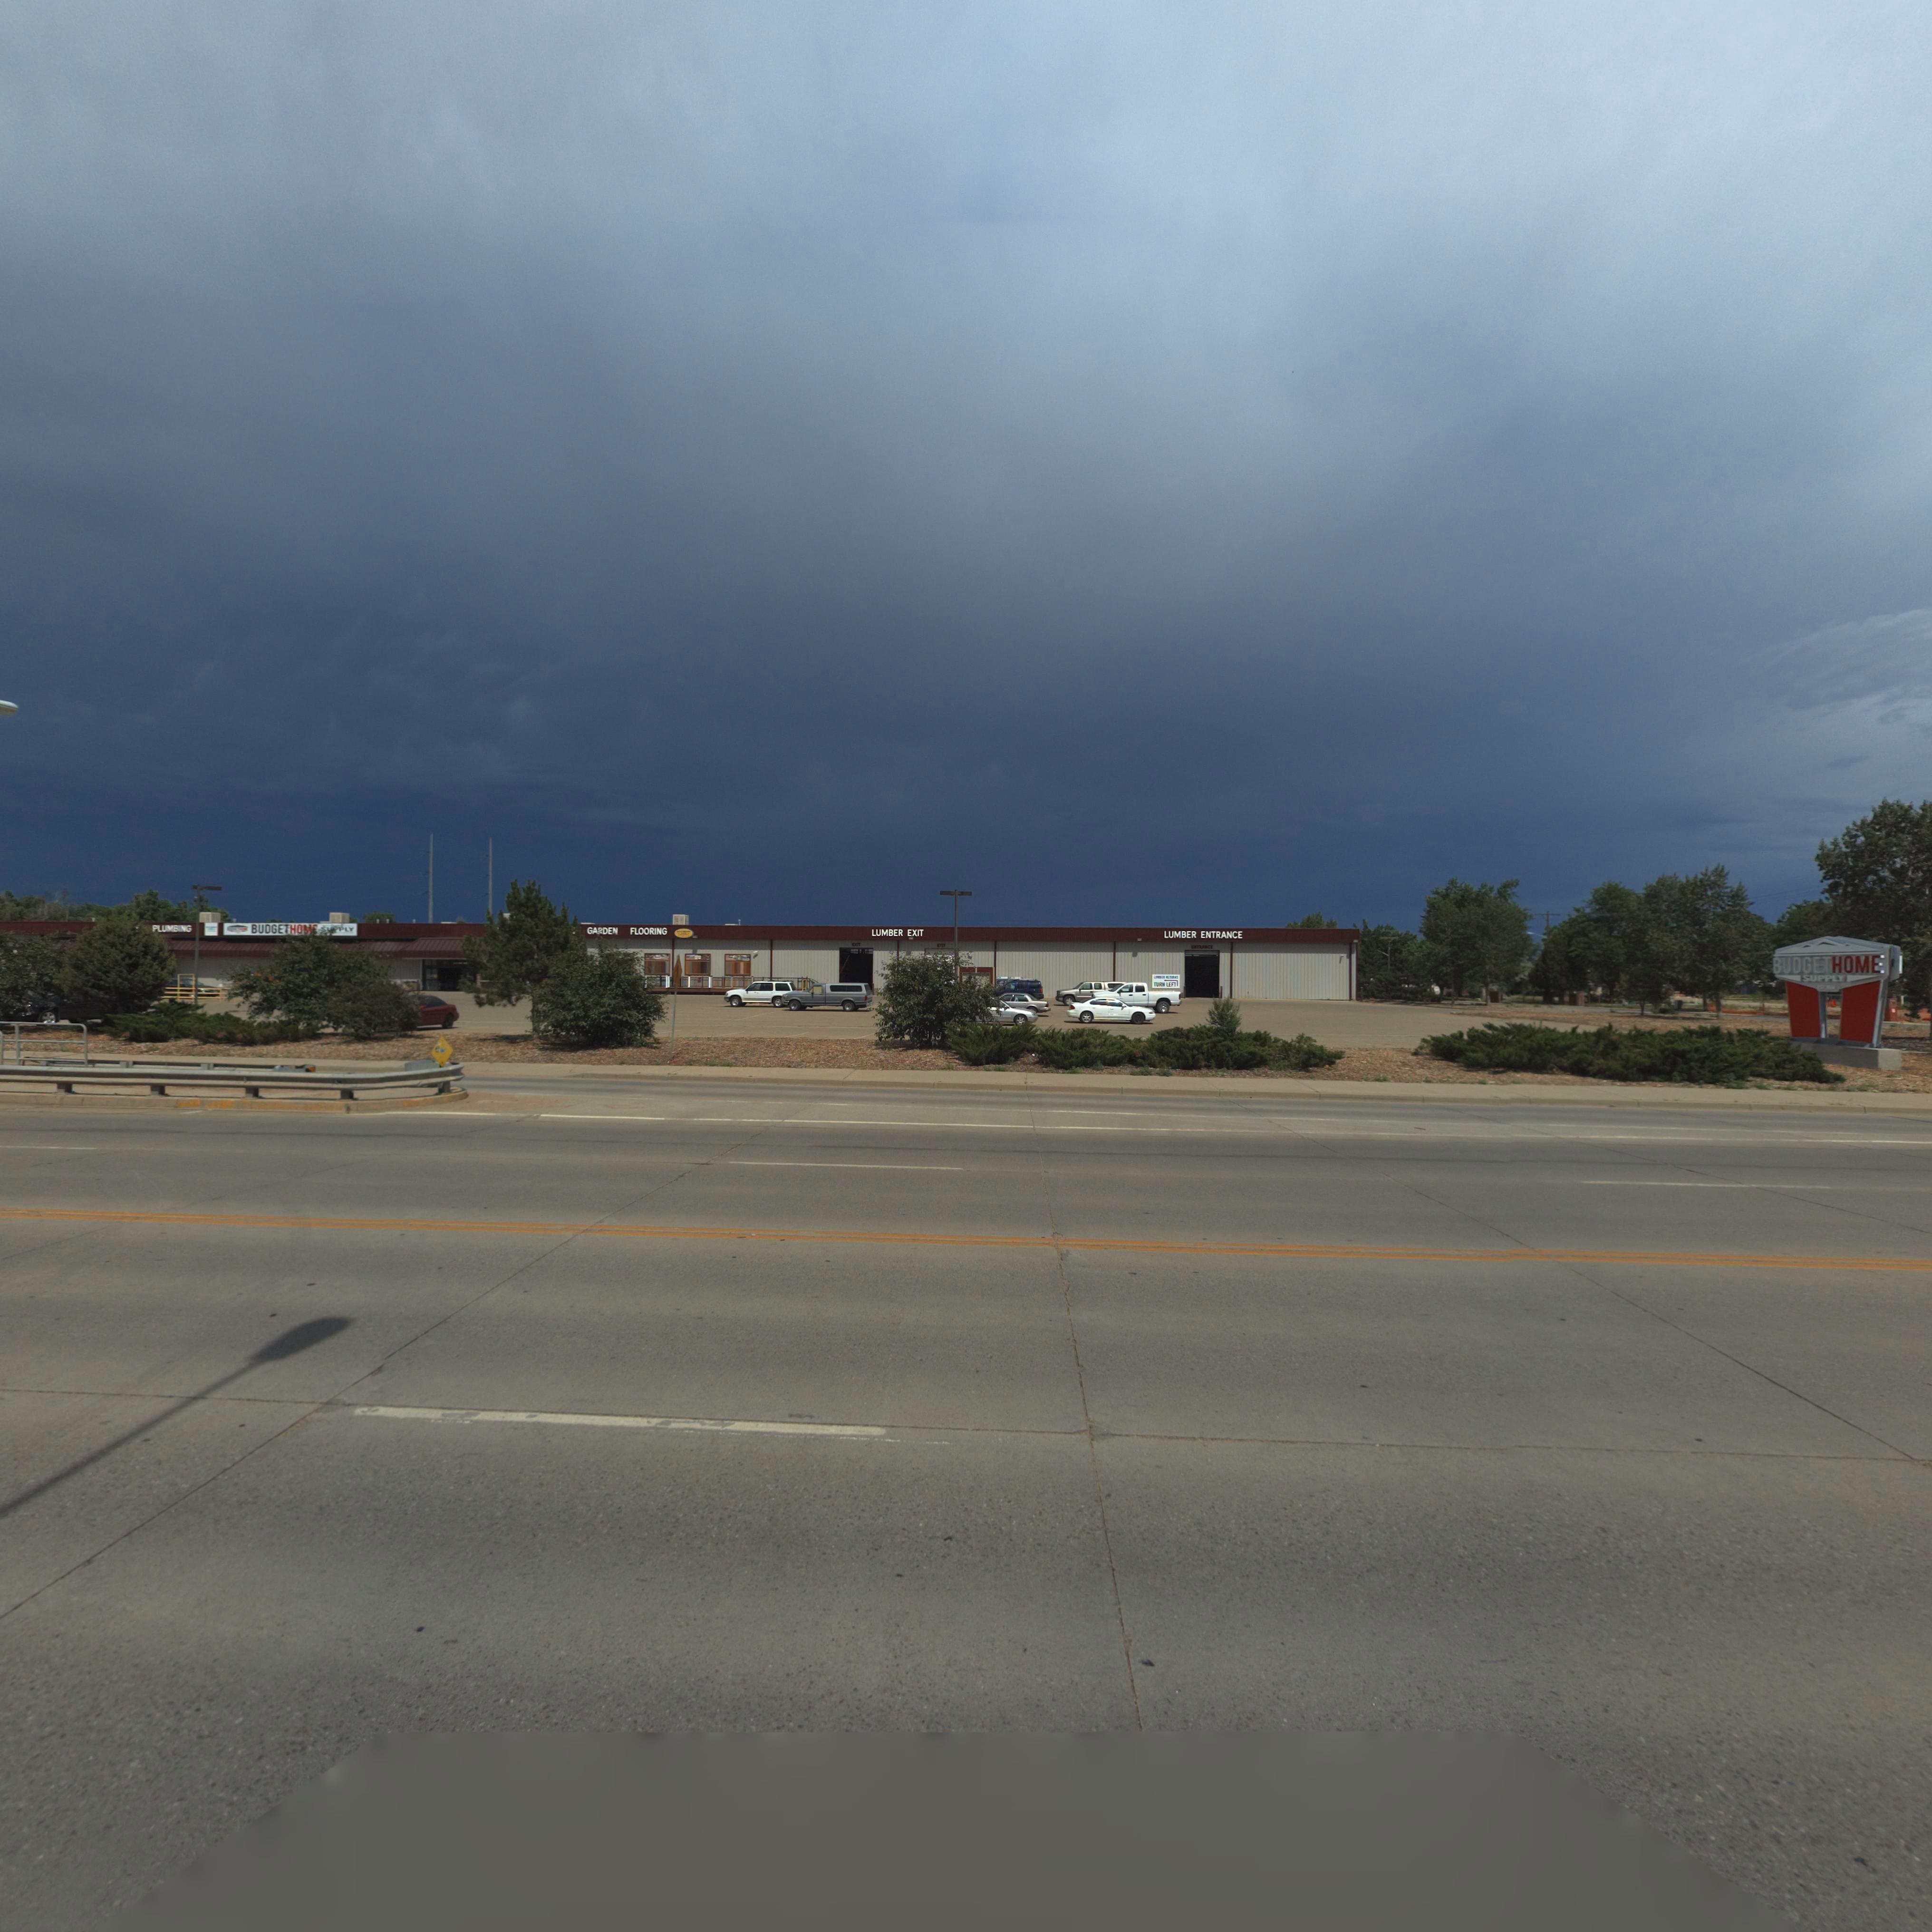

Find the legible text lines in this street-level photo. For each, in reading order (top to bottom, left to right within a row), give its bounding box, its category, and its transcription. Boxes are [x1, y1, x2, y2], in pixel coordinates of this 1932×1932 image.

[251, 924, 355, 935] BusinessName: BUDGETHOME SUPPLY
[1164, 930, 1243, 938] None: LUMBER ENTRANCE
[1772, 955, 1881, 974] BusinessName: BUDGETHOME
[1801, 974, 1845, 982] BusinessName: SUPPLY